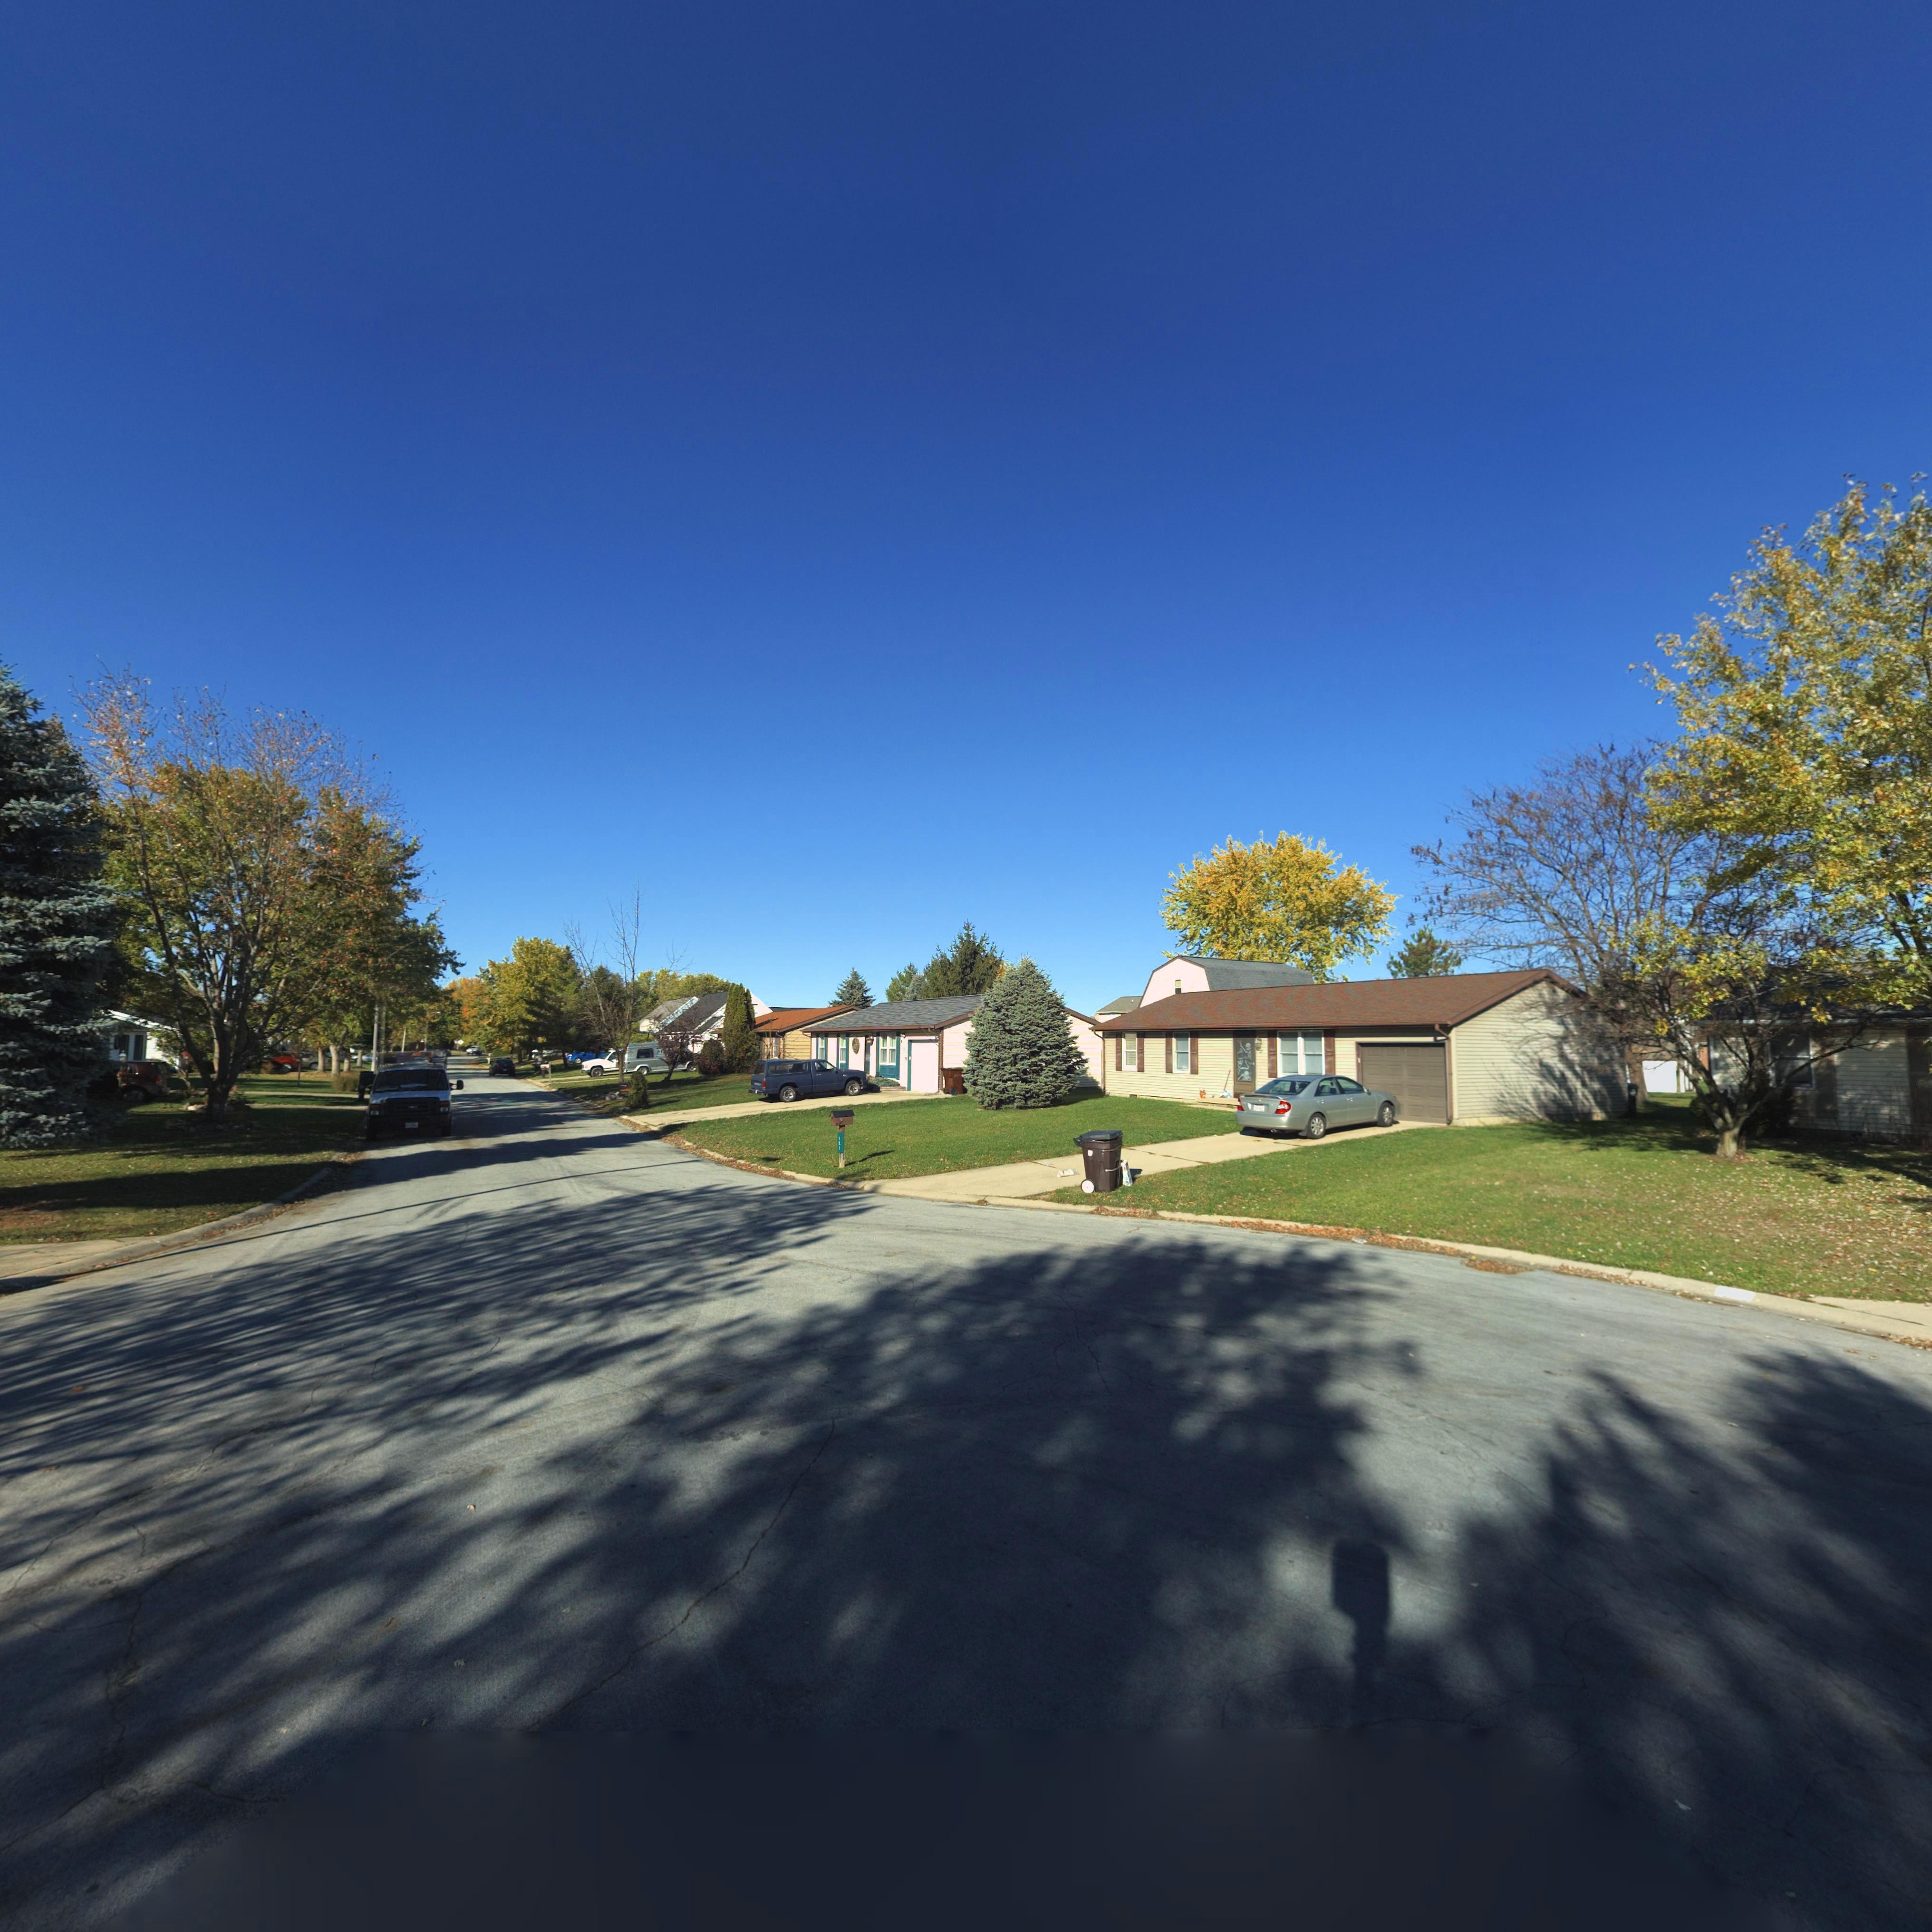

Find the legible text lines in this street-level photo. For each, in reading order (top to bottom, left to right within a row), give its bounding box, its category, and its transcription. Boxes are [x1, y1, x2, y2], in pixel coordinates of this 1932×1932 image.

[838, 1136, 841, 1150] StreetNumber: 121